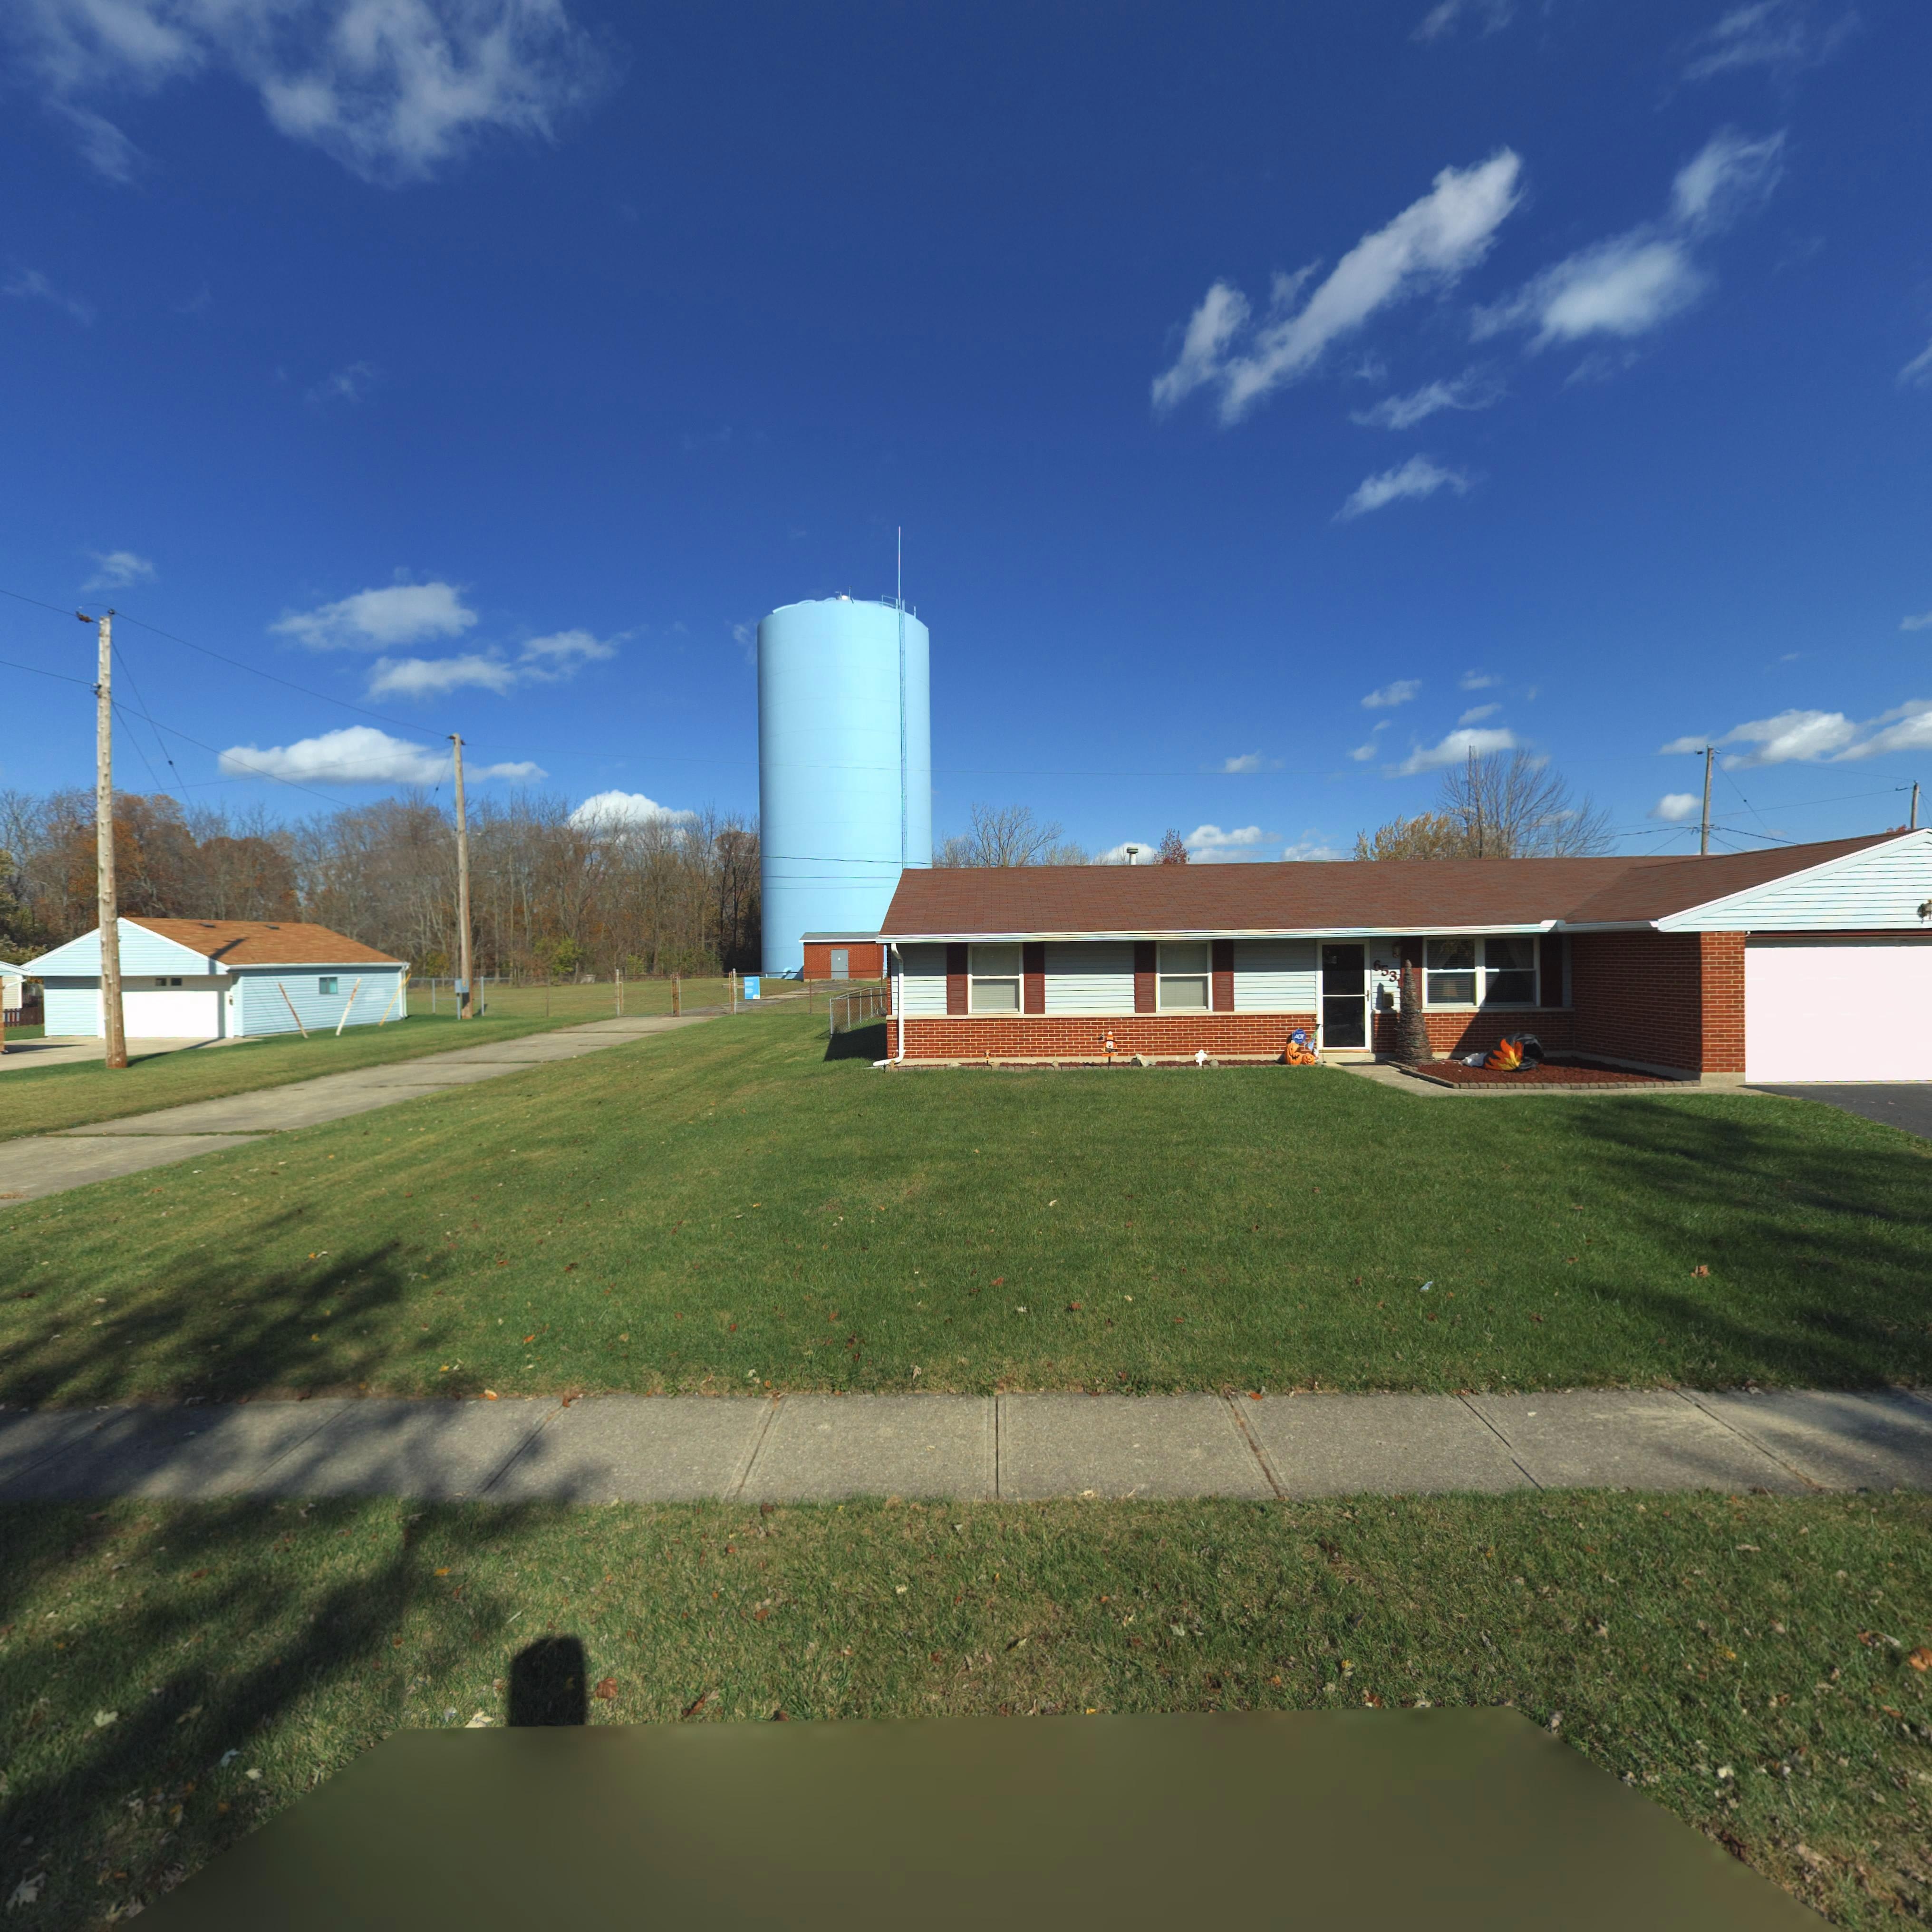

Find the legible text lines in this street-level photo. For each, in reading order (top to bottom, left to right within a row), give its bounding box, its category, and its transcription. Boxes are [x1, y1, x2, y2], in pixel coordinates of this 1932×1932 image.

[1373, 959, 1402, 989] StreetNumber: 6531